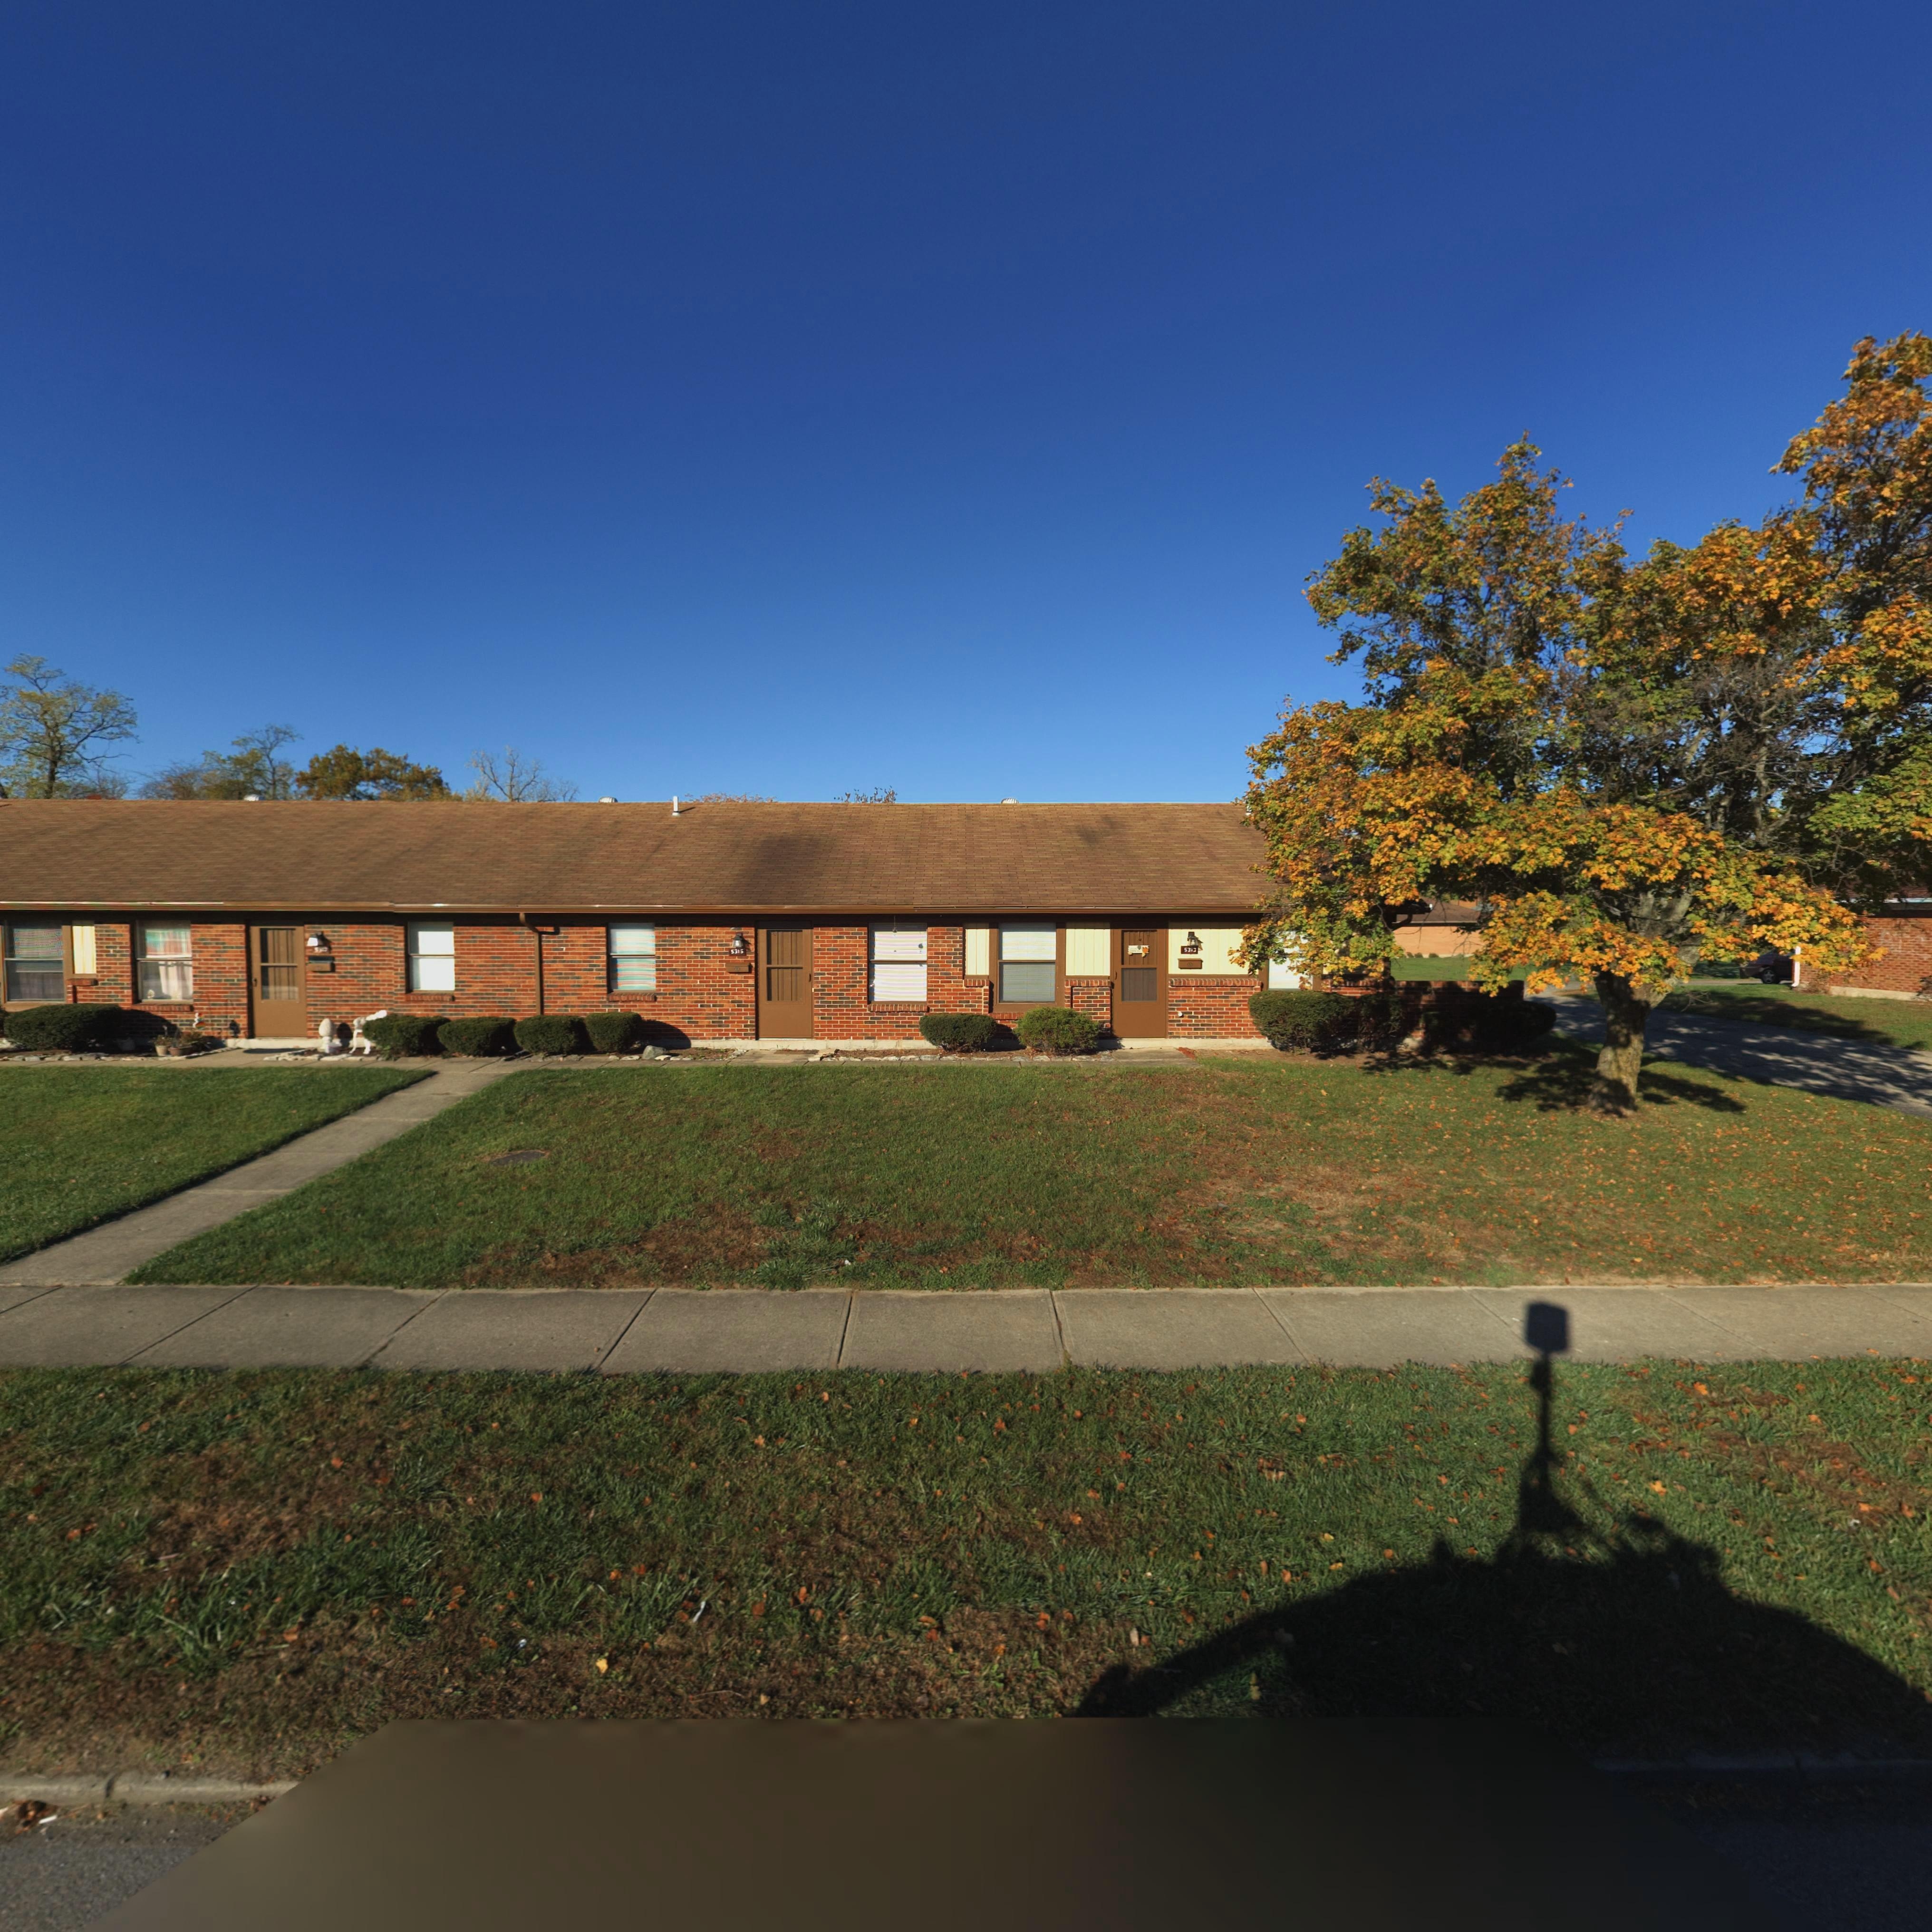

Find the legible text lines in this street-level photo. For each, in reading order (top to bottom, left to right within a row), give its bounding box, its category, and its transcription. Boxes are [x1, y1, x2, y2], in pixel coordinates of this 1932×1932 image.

[312, 946, 328, 954] StreetNumber: 5317
[729, 947, 744, 954] StreetNumber: 5315
[1183, 947, 1197, 953] StreetNumber: 5313